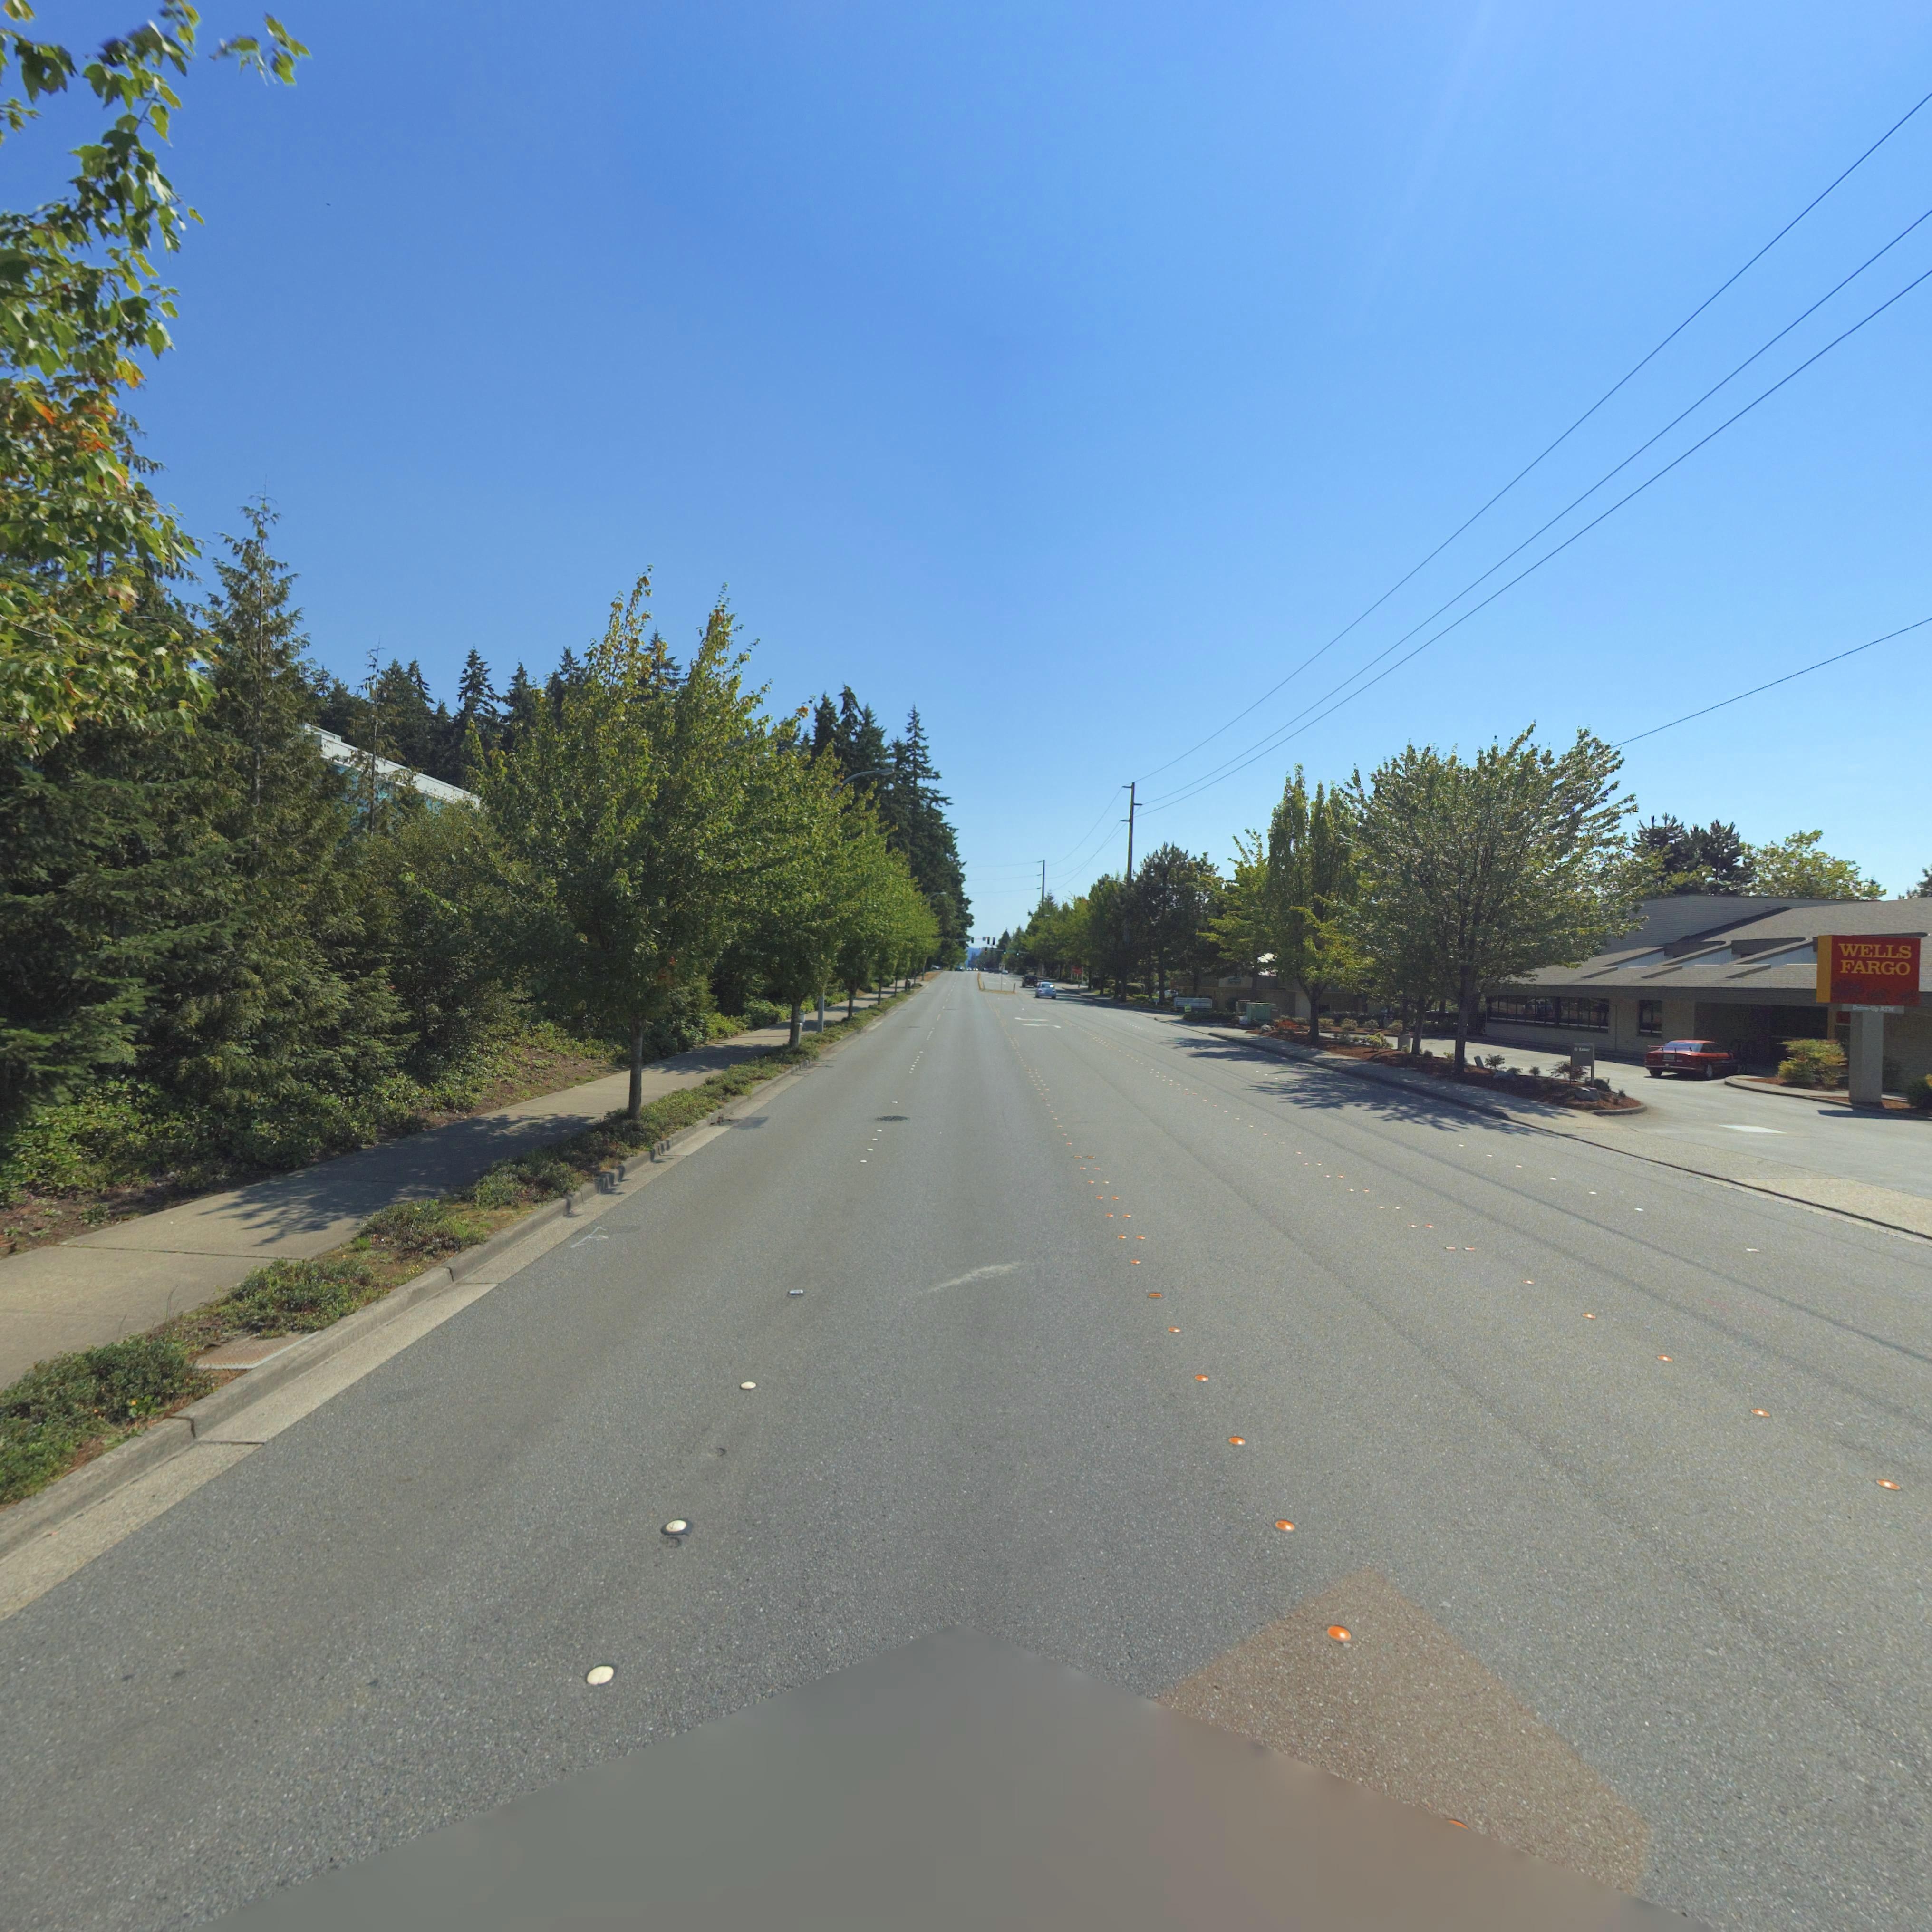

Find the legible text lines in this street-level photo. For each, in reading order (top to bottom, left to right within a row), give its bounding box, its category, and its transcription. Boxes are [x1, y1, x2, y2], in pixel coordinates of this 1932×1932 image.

[1839, 943, 1913, 959] BusinessName: WELLS
[1839, 958, 1912, 976] BusinessName: FARGO